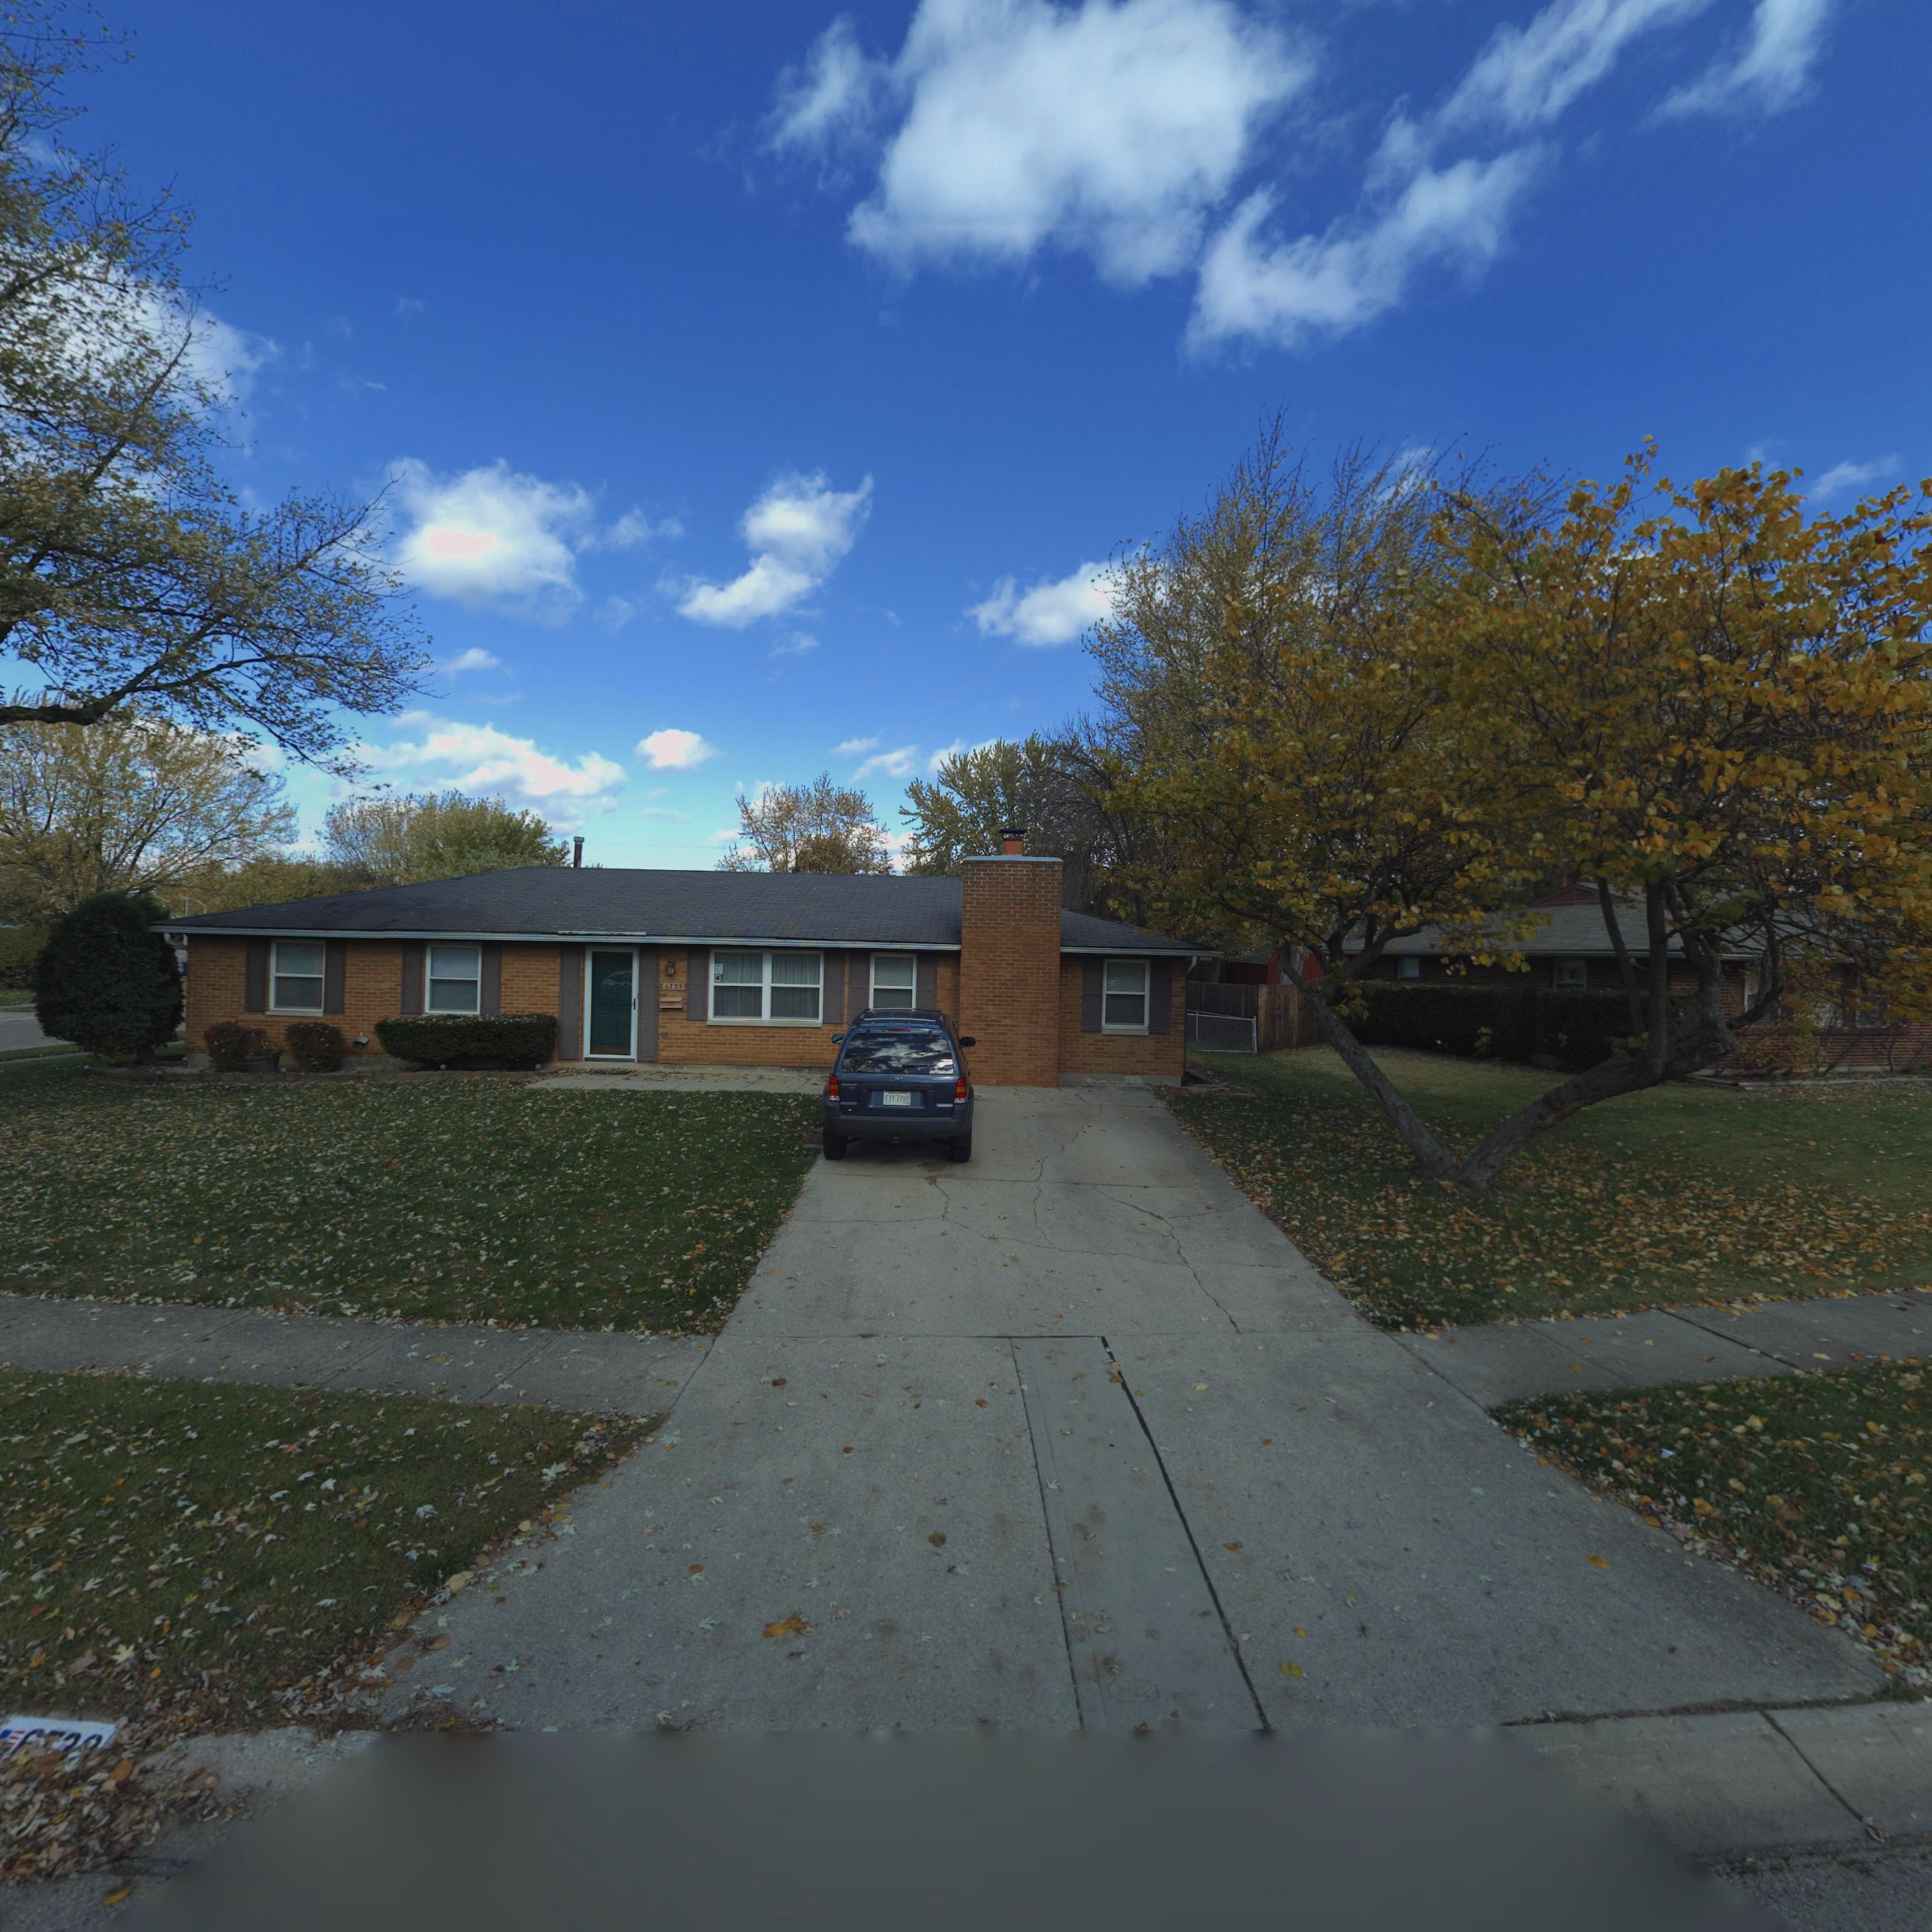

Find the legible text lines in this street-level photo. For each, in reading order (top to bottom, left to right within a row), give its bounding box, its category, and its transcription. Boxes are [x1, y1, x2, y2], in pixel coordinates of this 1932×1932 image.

[664, 983, 683, 990] StreetNumber: 6739